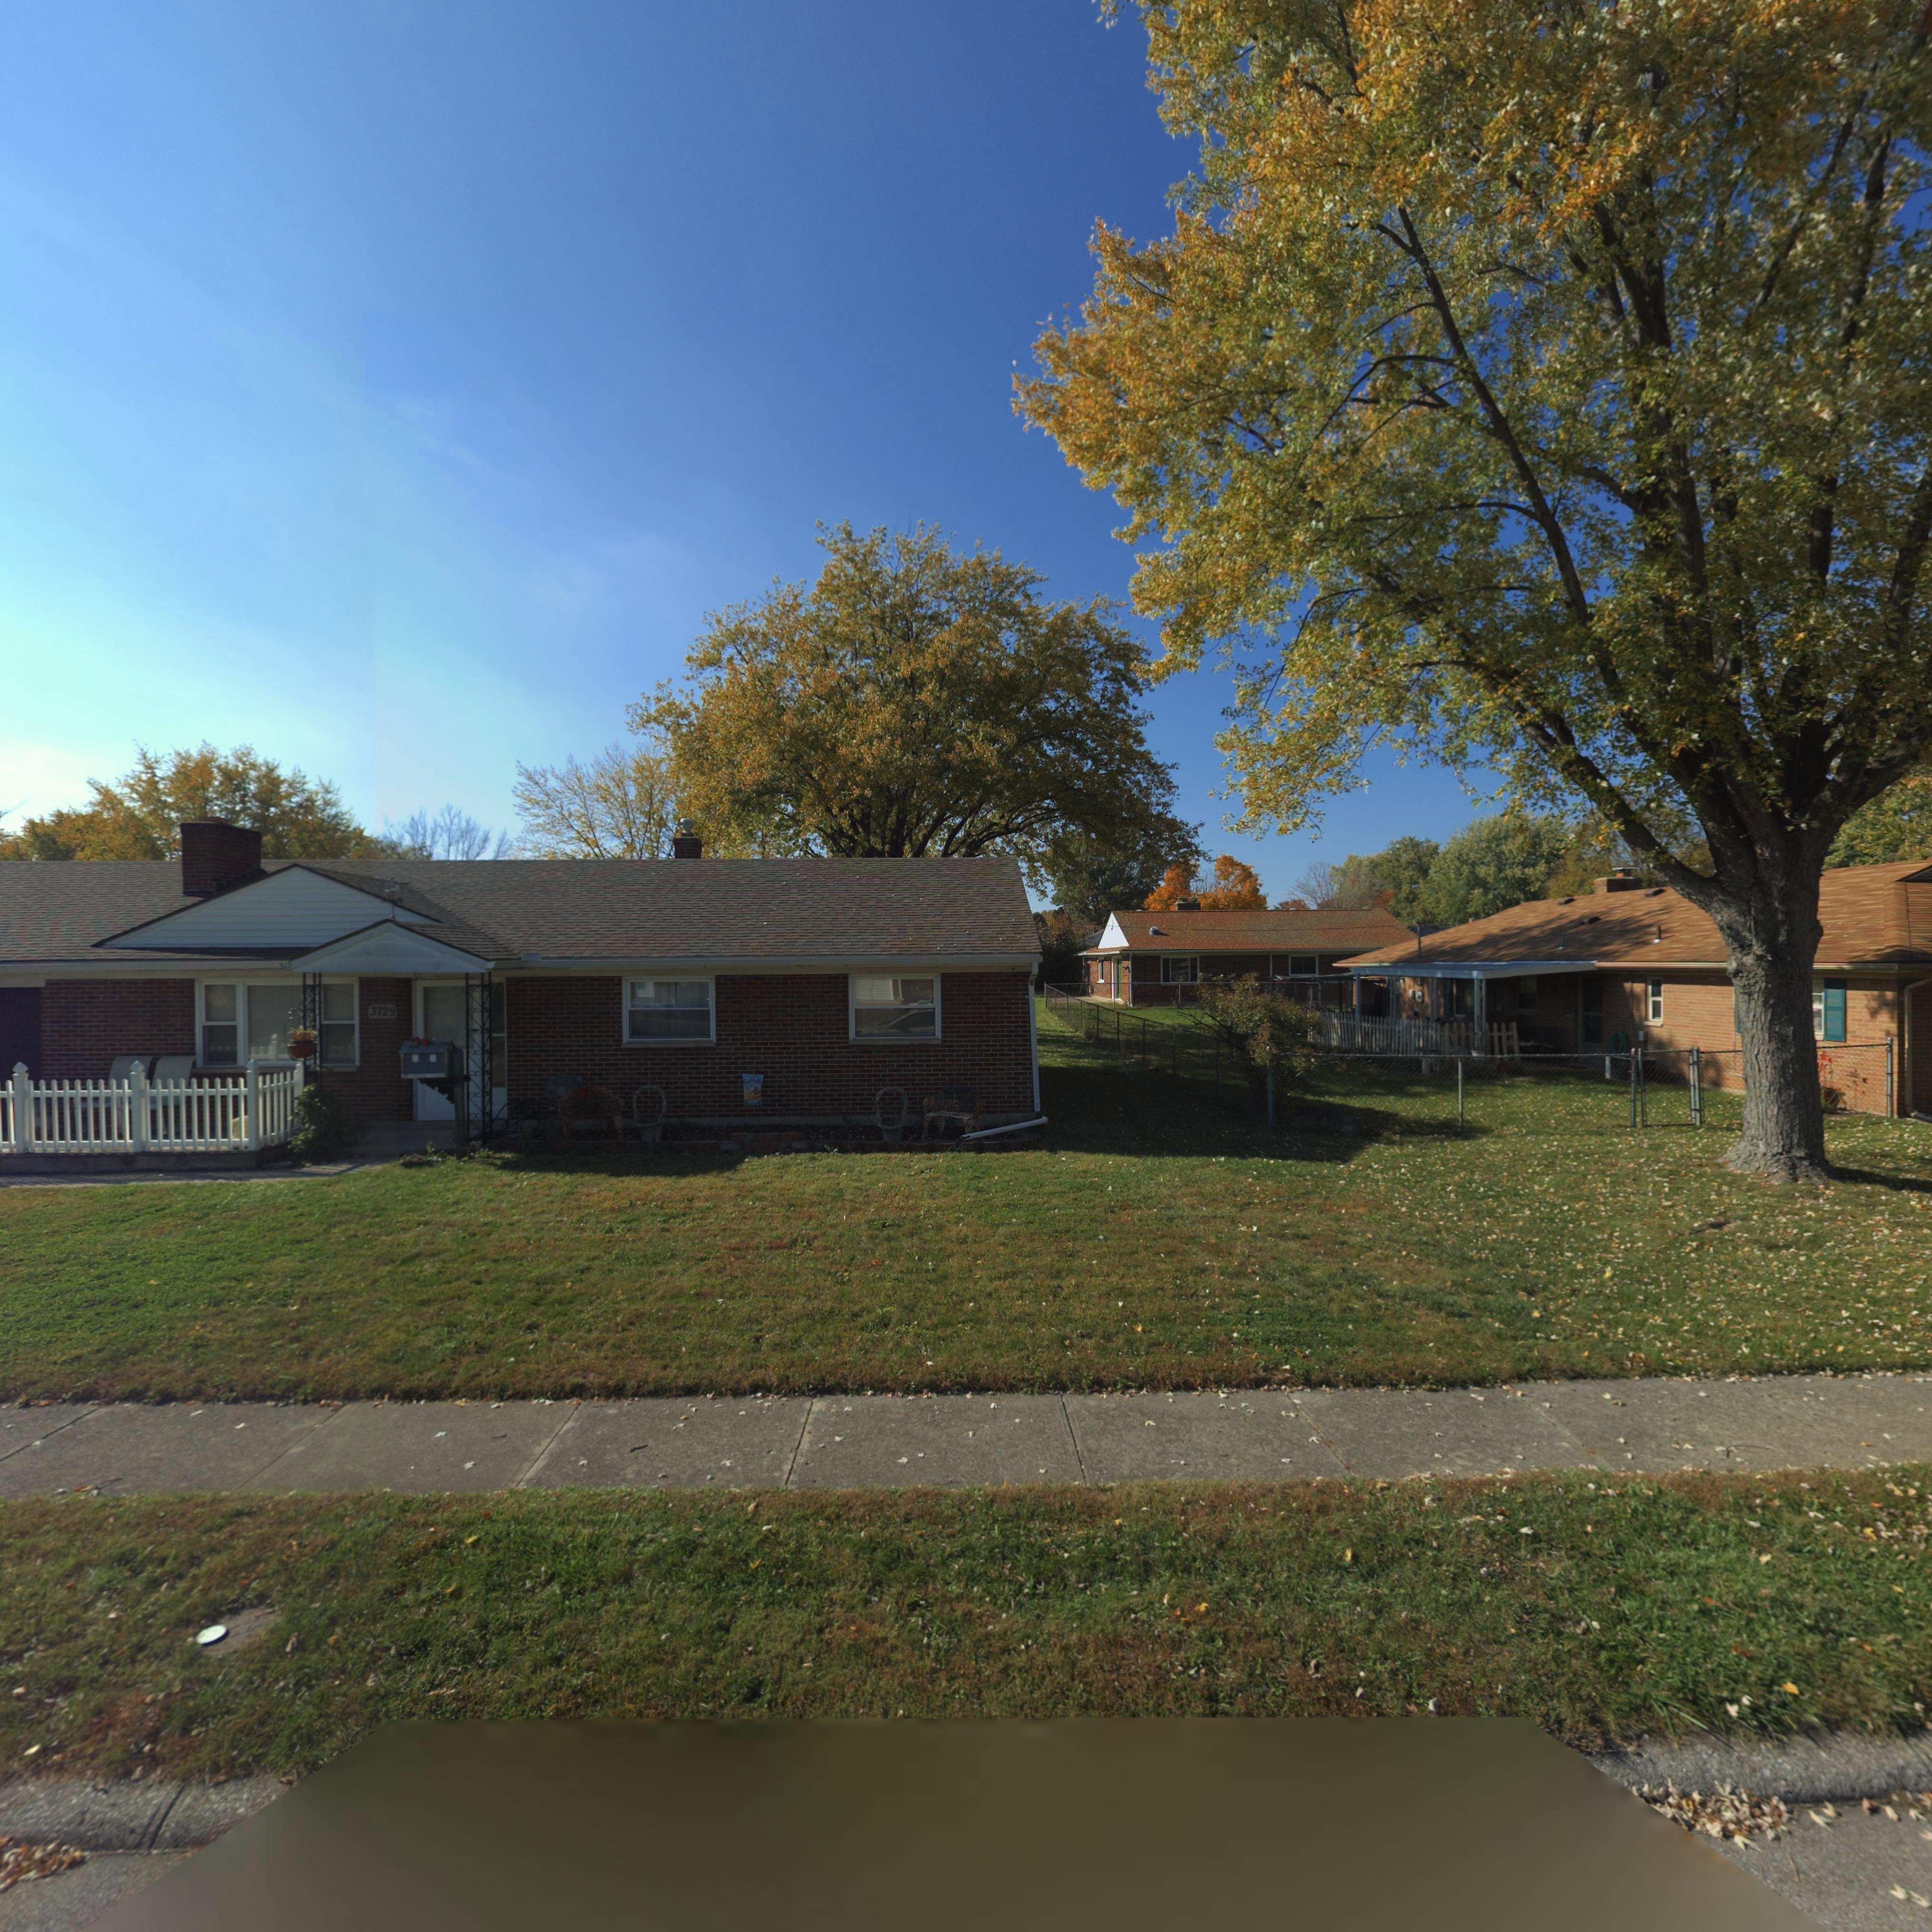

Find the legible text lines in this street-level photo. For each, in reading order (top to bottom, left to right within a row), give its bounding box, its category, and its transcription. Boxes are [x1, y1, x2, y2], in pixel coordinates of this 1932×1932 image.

[368, 1005, 396, 1018] StreetNumber: 3729